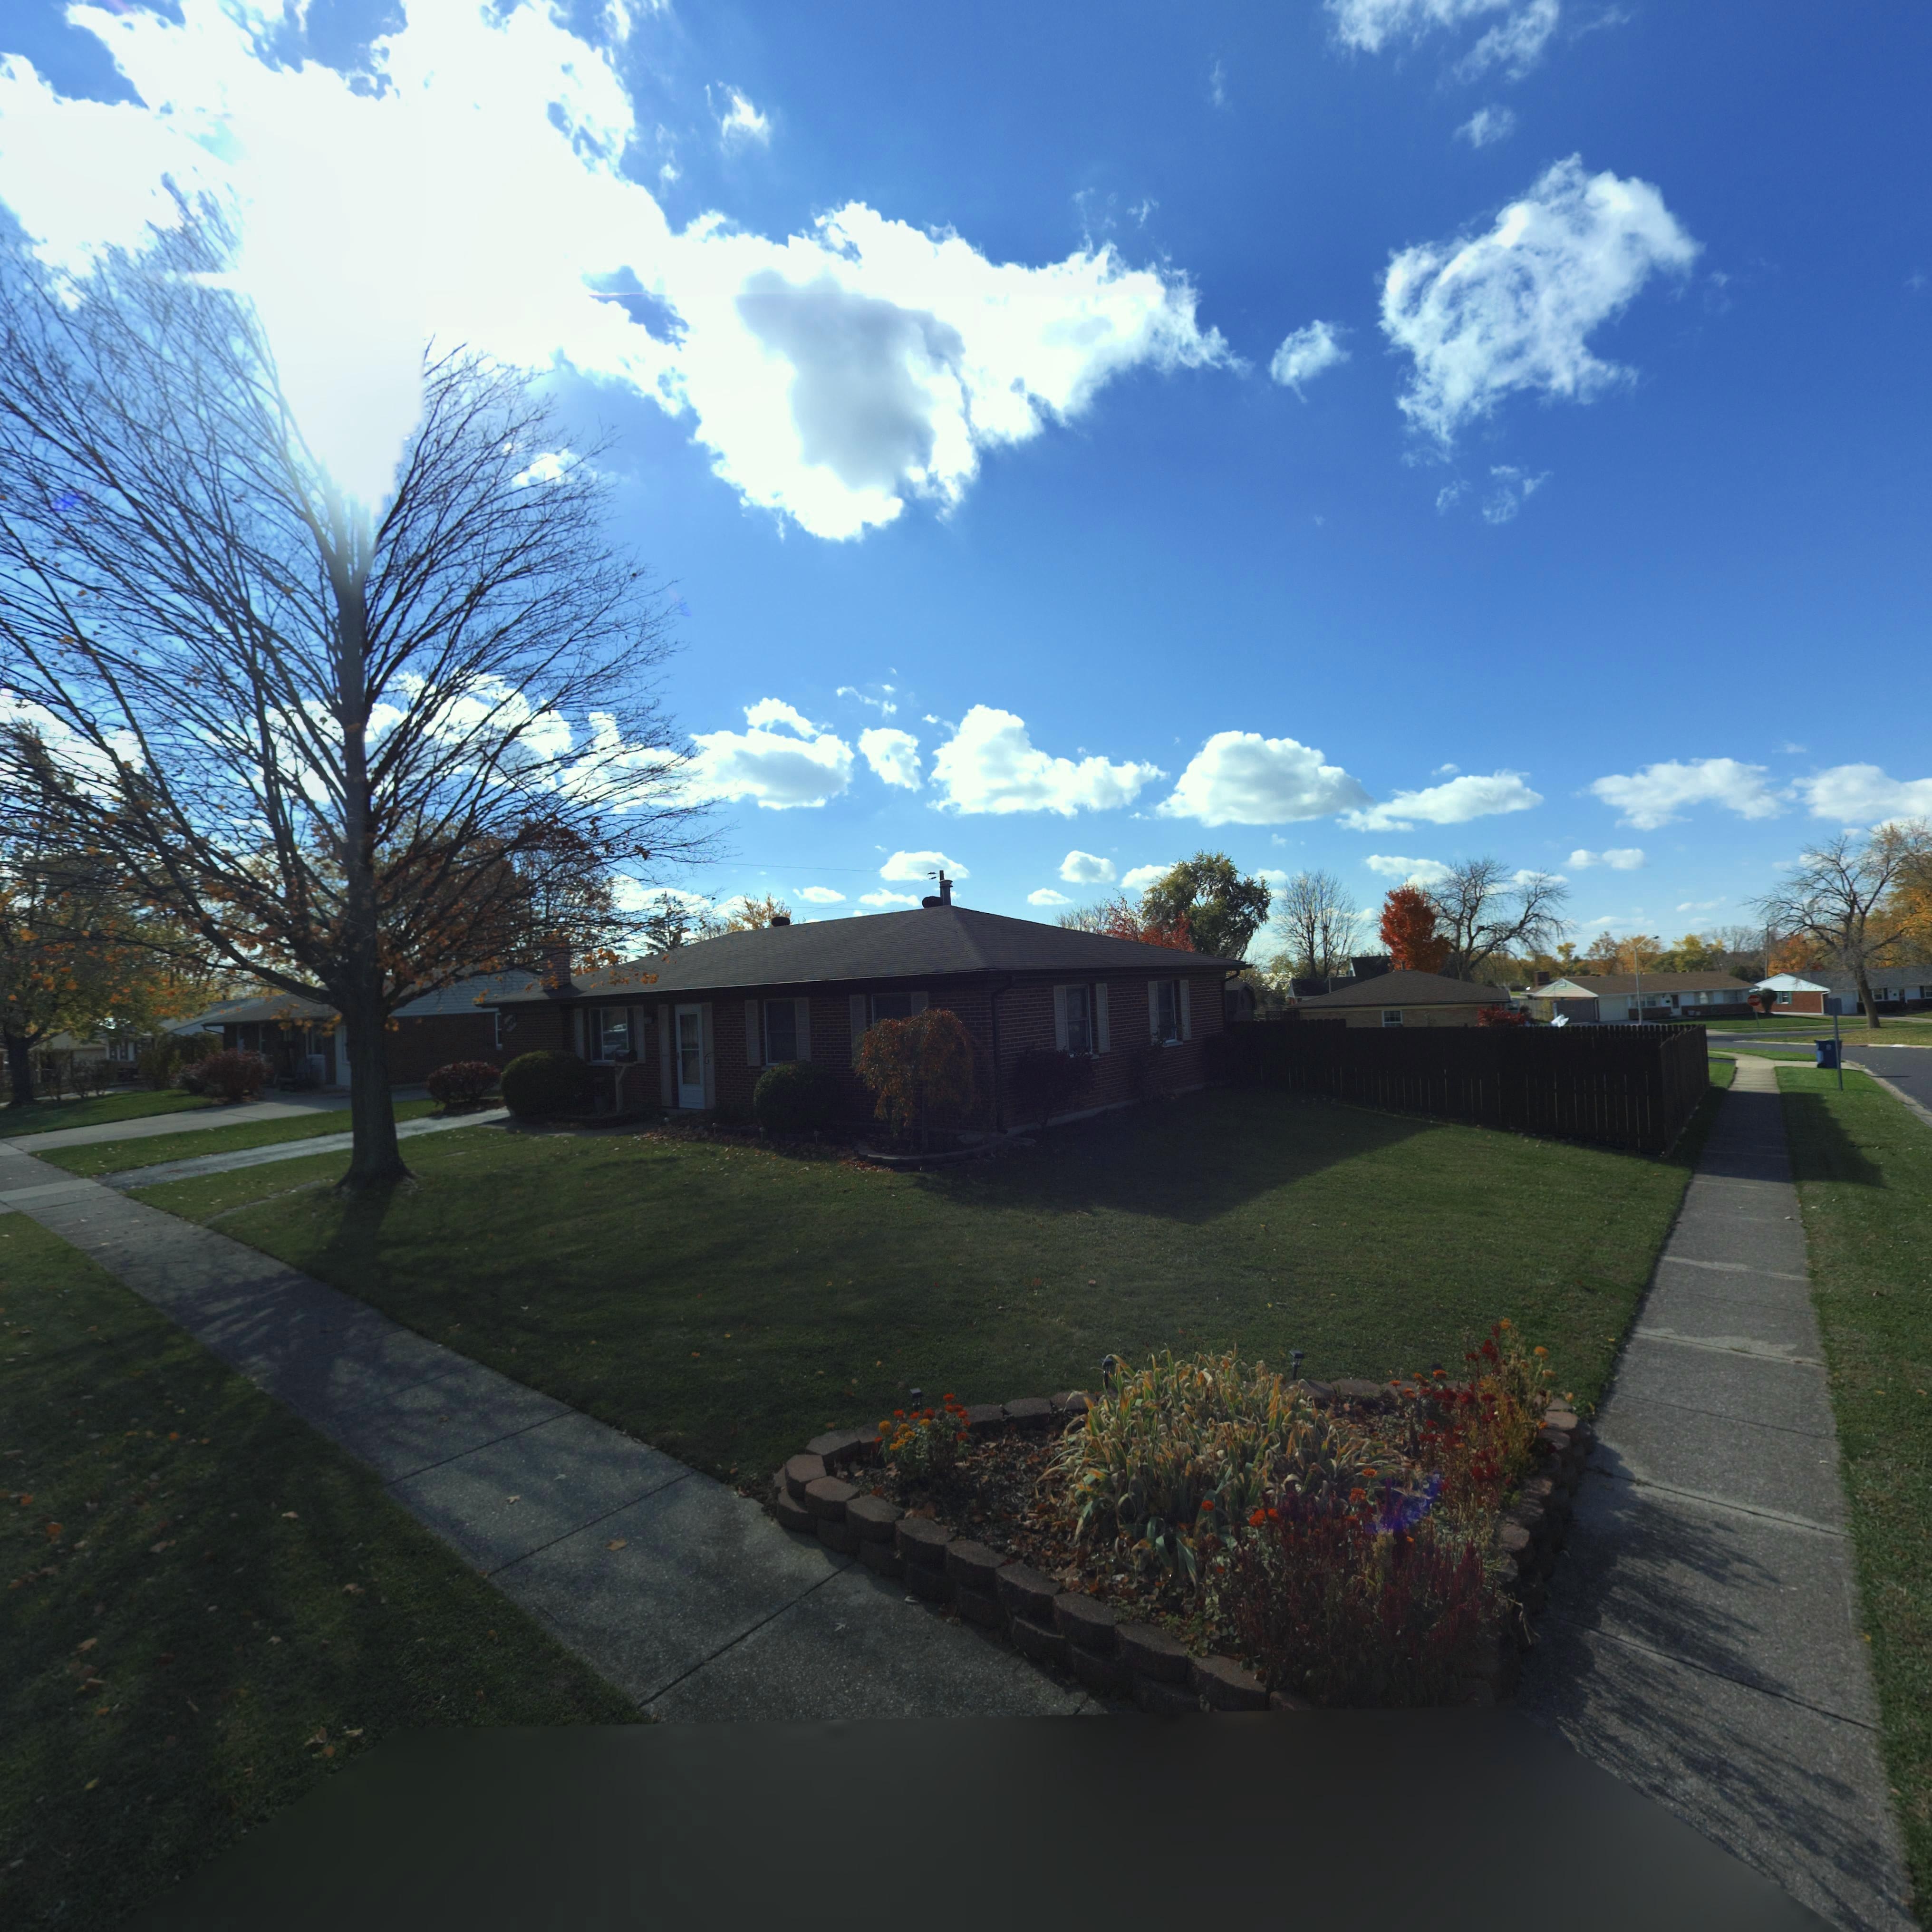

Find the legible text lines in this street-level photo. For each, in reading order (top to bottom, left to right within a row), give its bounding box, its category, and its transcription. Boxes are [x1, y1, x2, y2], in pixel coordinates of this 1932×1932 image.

[508, 1014, 517, 1026] StreetNumber: 00